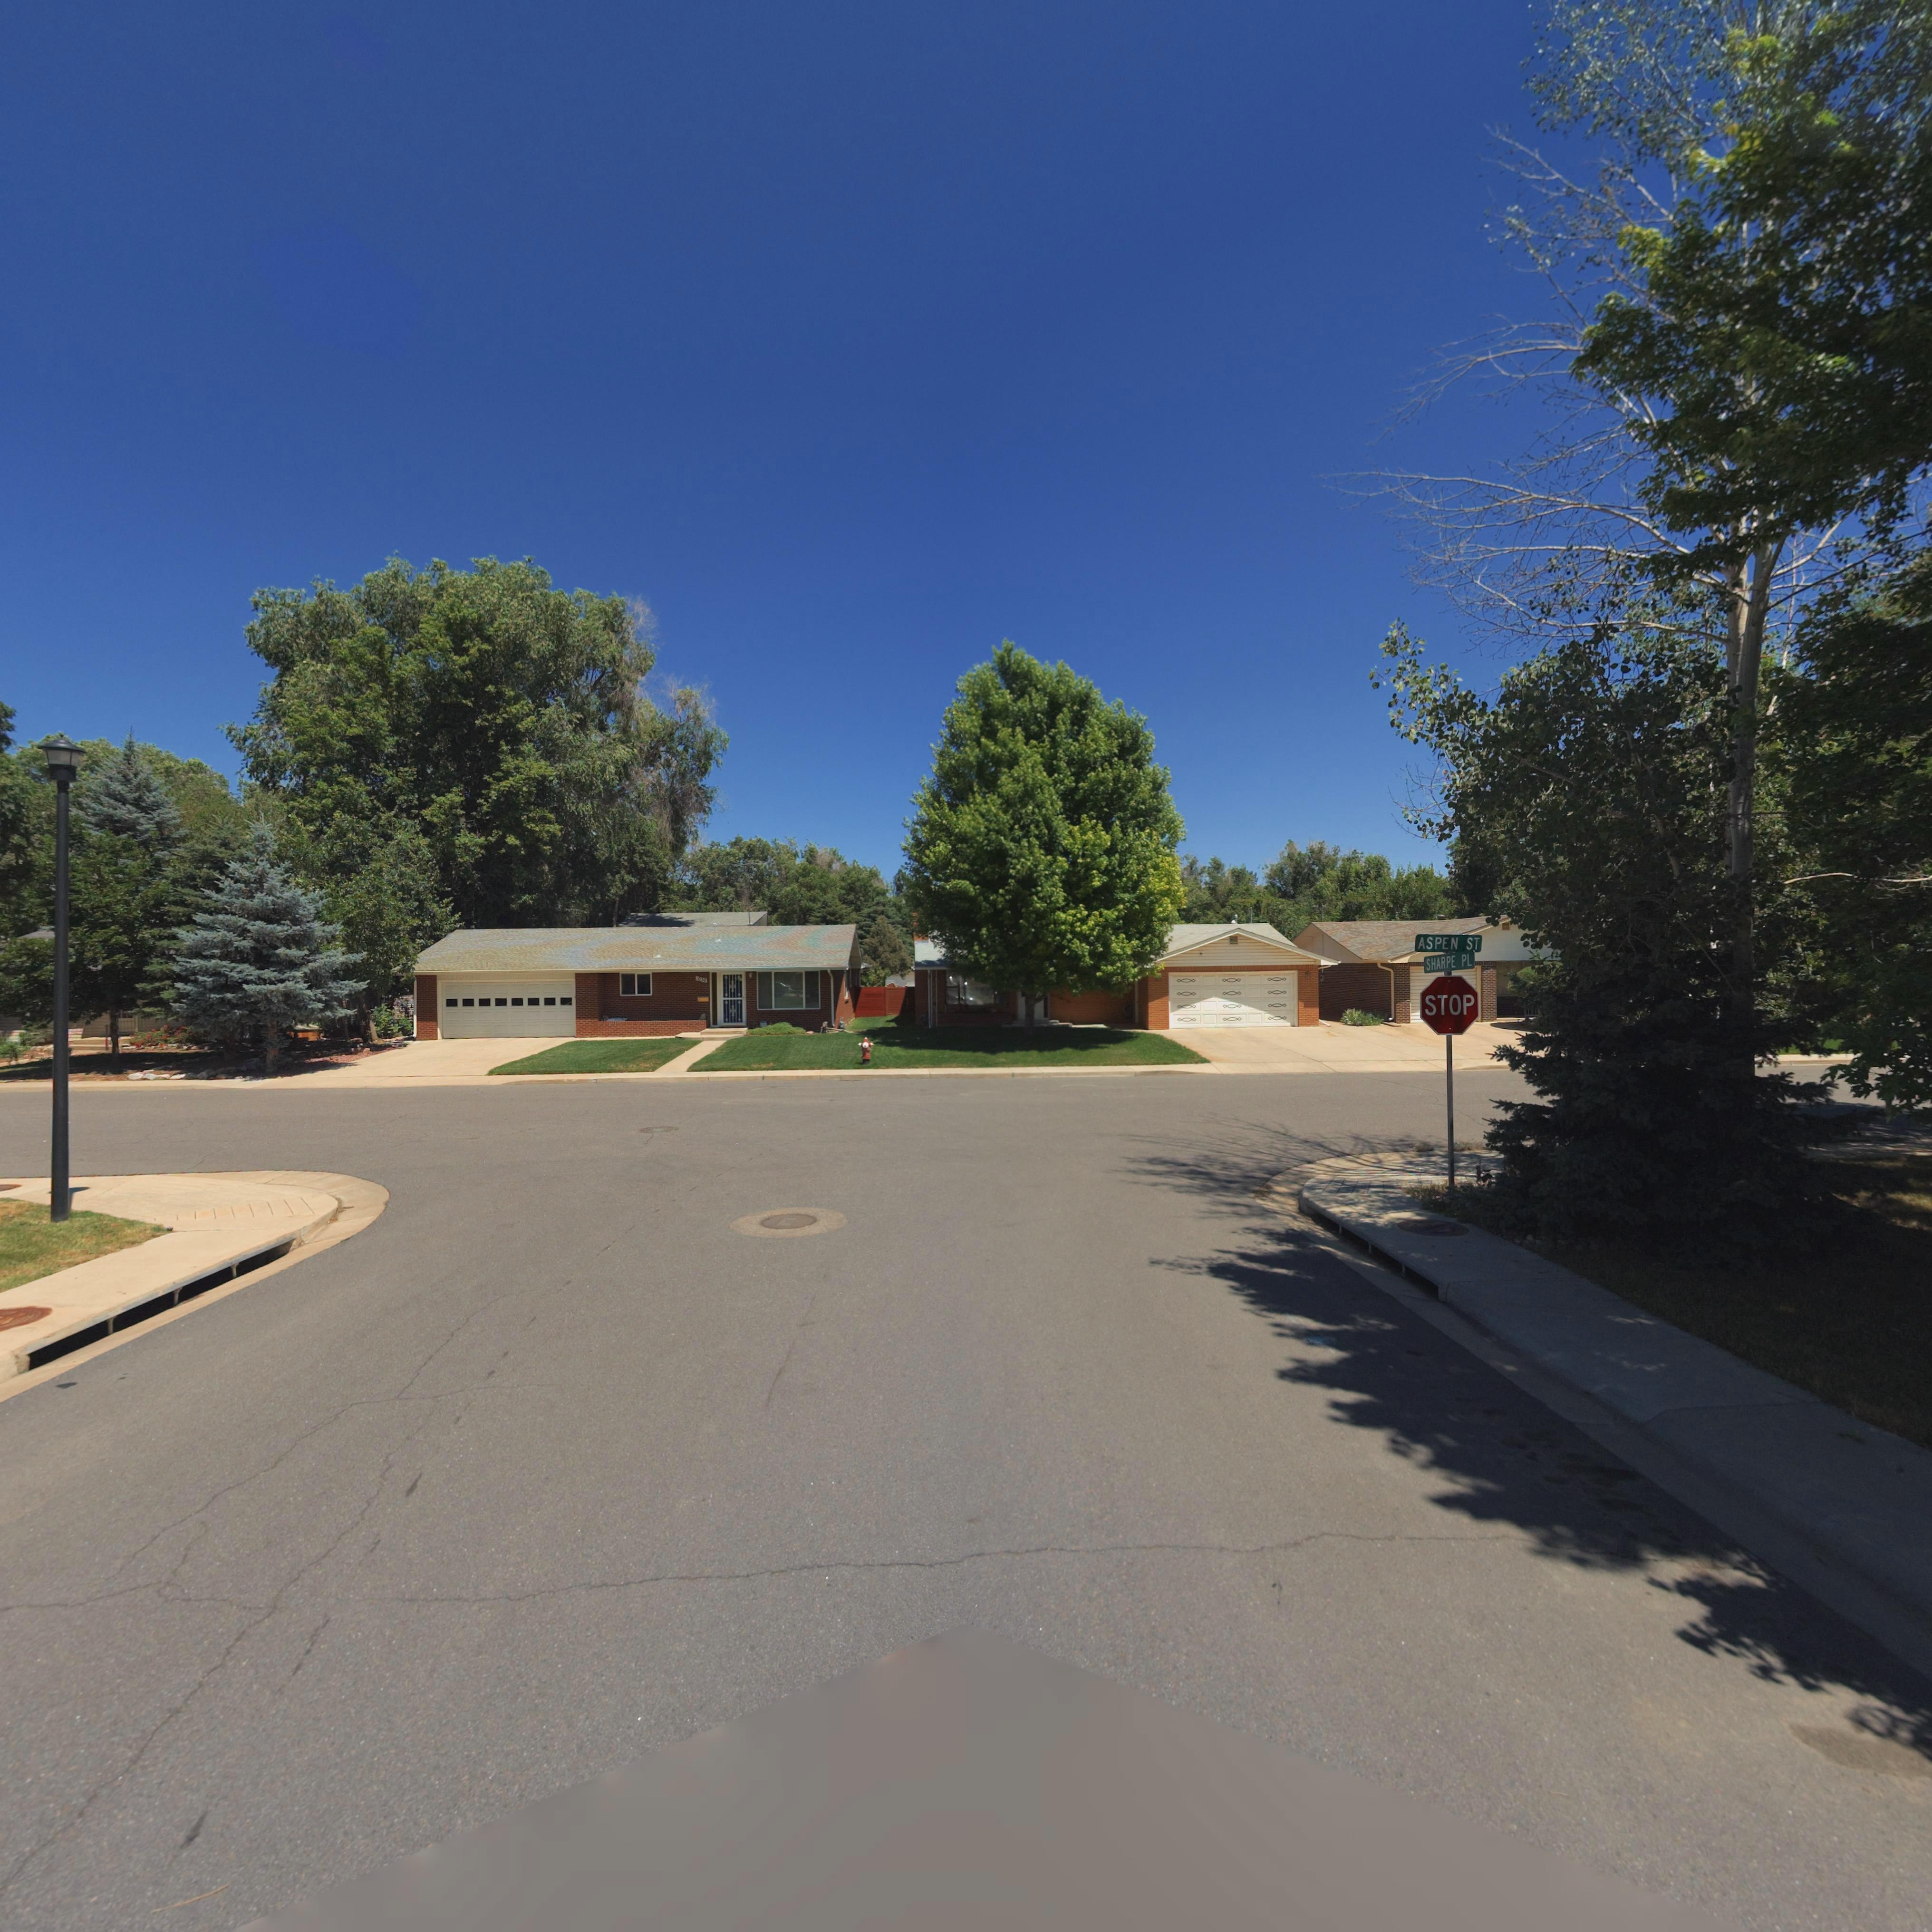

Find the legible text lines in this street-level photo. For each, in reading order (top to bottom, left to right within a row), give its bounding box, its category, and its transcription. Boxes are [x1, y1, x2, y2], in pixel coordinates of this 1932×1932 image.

[1417, 936, 1480, 950] StreetName: ASPEN ST
[1426, 953, 1473, 971] StreetName: SHARPE PL
[696, 976, 706, 982] StreetNumber: 10**